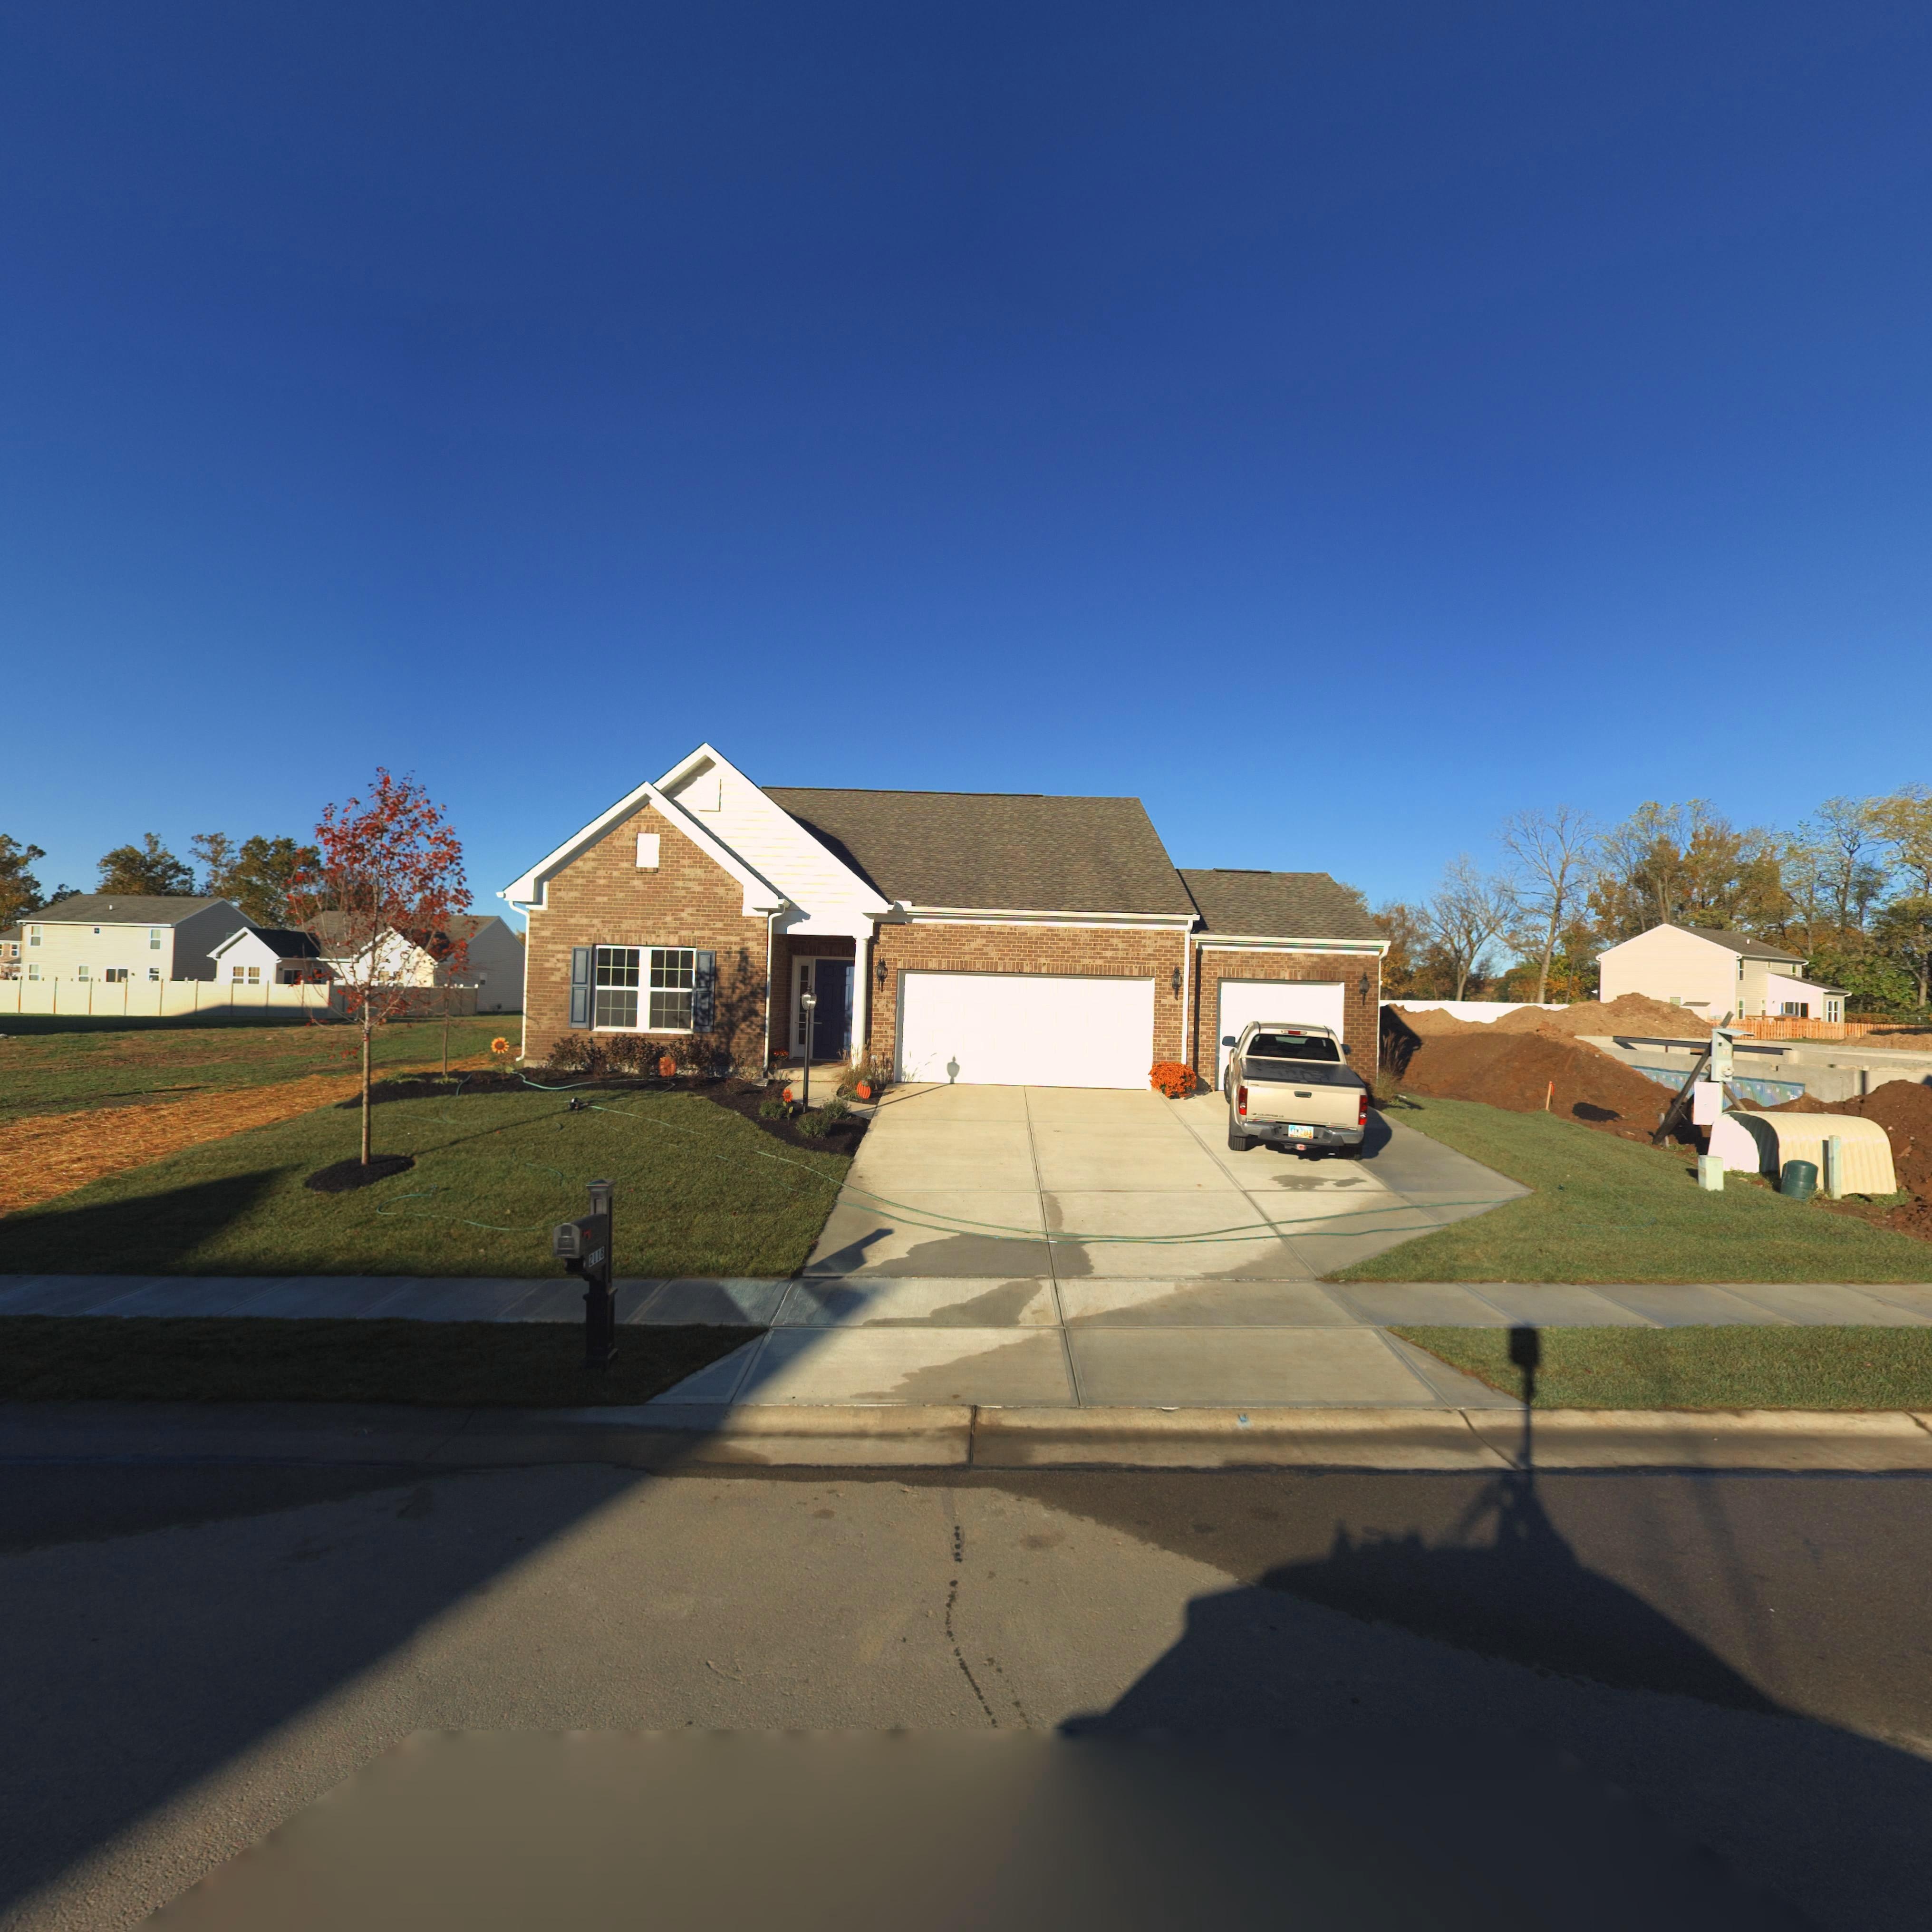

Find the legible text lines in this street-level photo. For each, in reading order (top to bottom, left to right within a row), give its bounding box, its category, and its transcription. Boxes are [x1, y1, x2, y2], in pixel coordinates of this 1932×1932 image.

[589, 1246, 605, 1267] StreetNumber: 2118